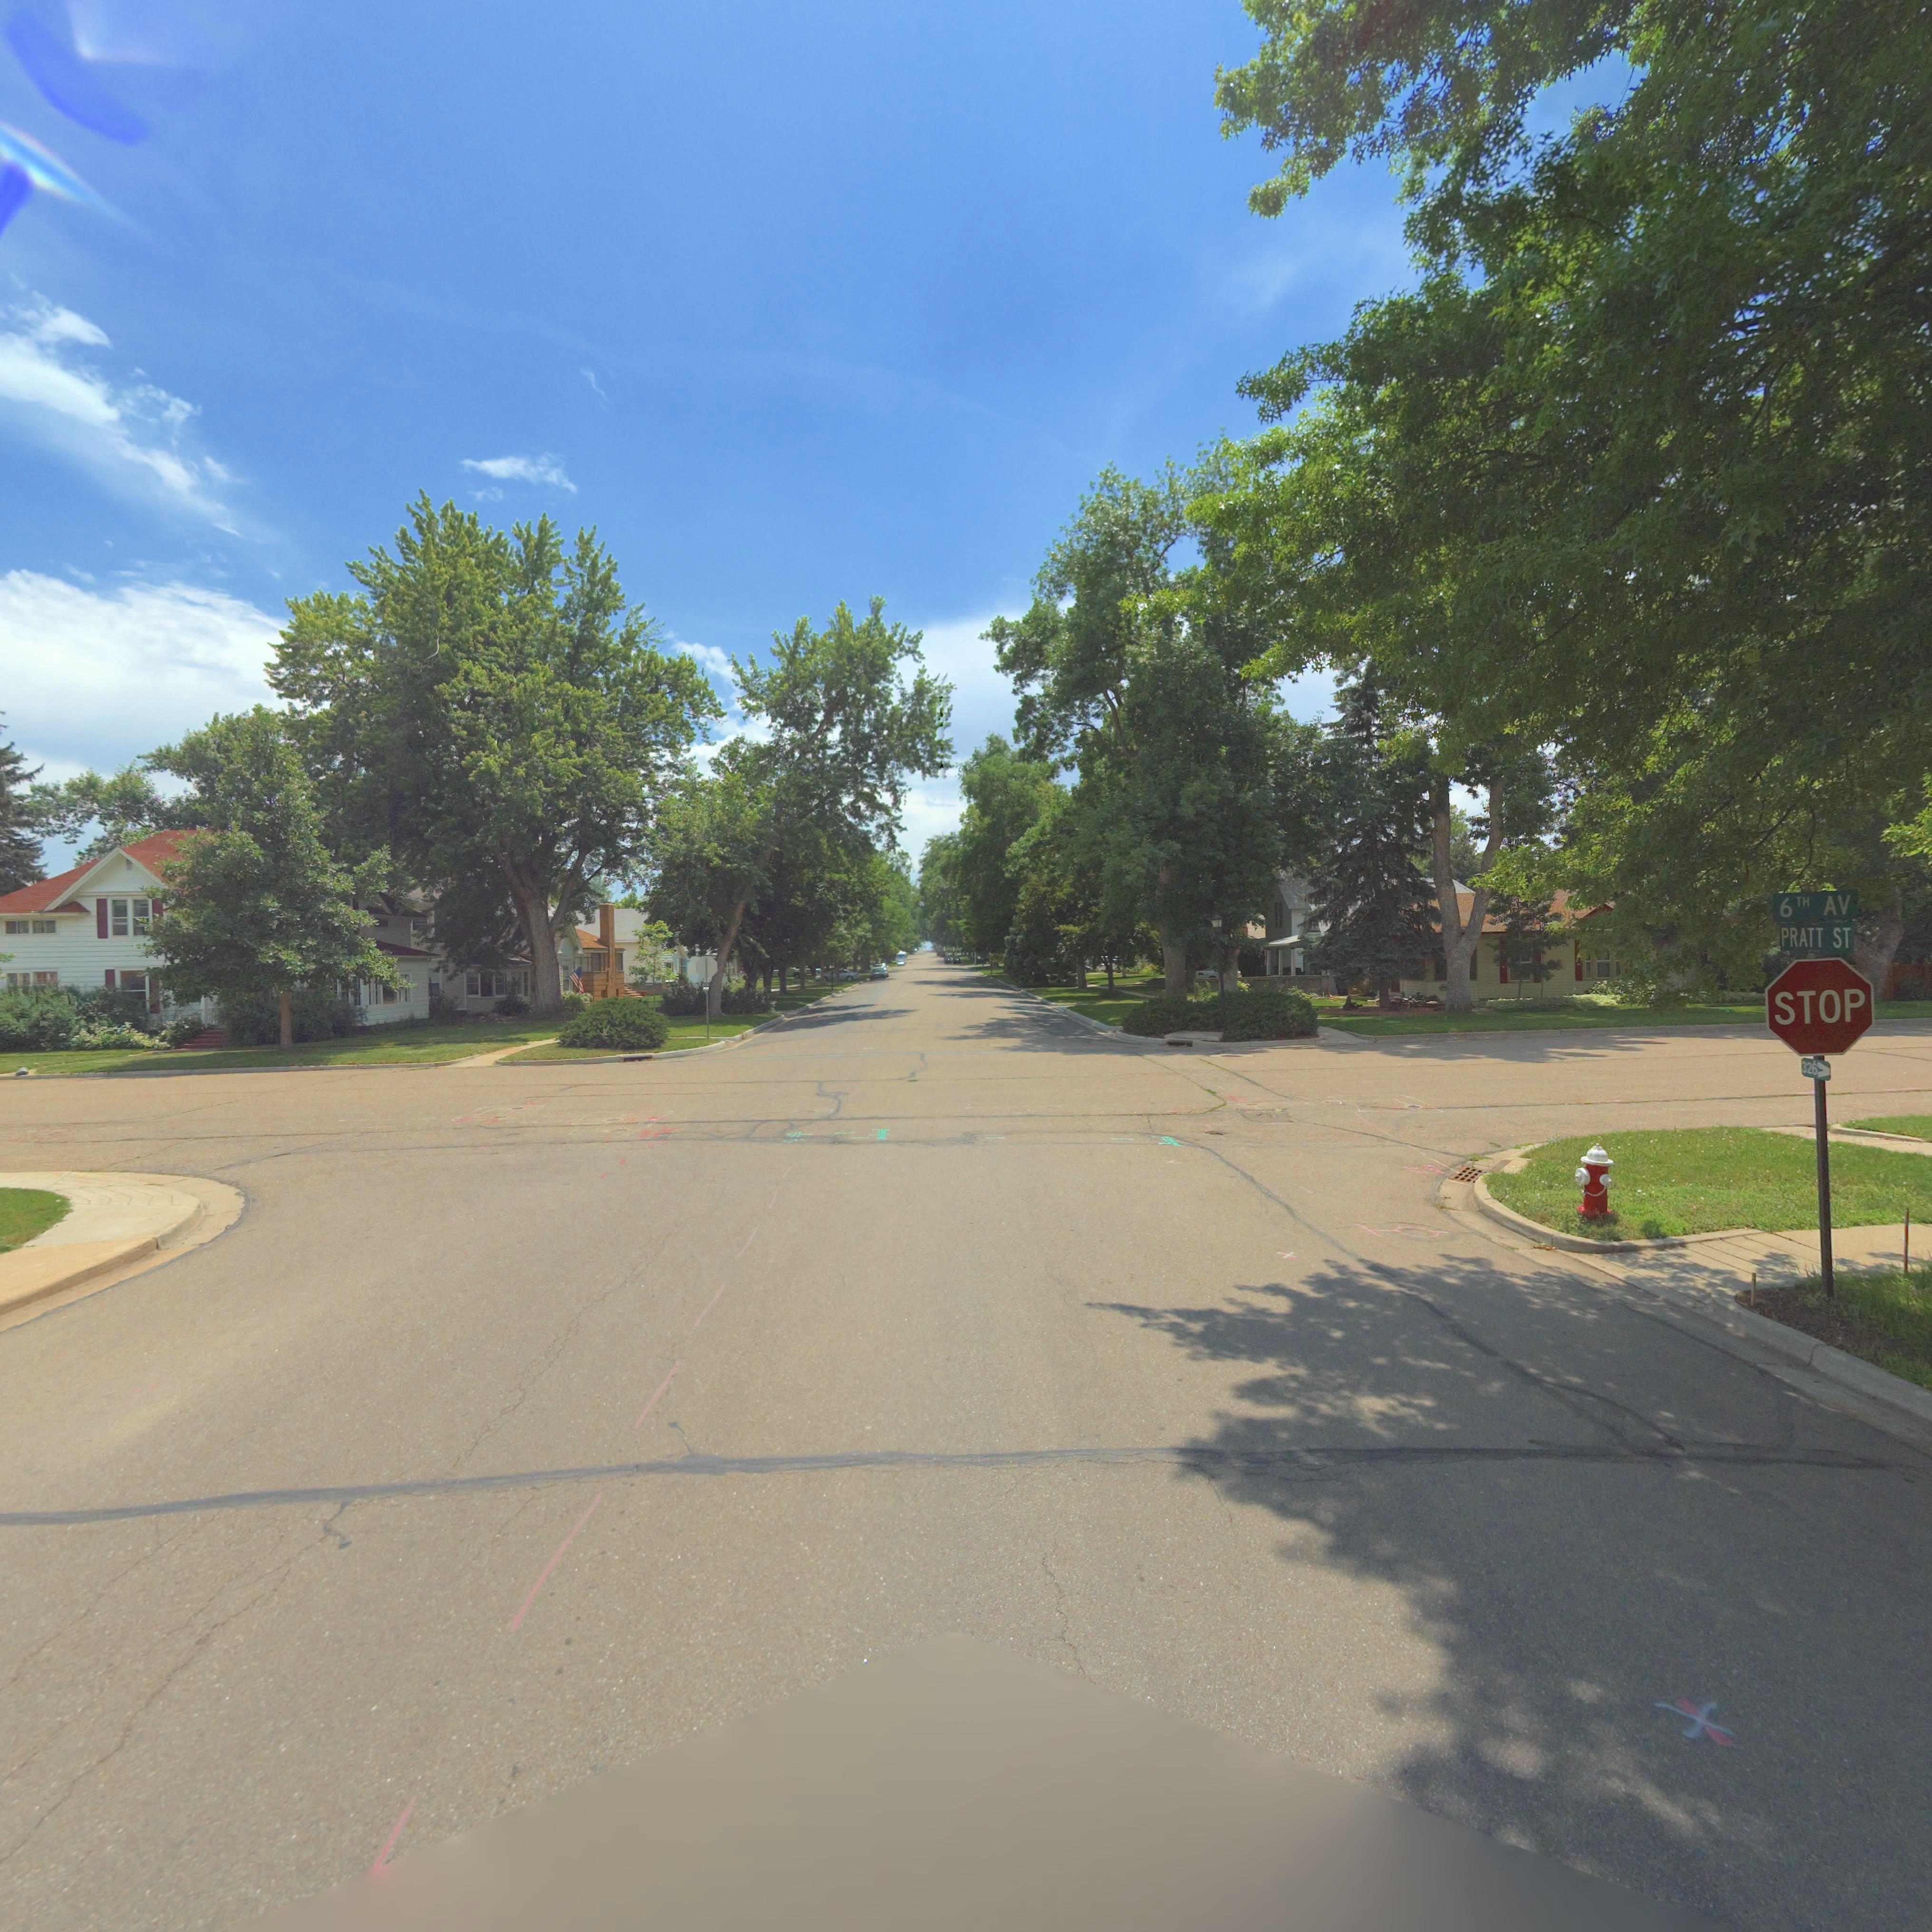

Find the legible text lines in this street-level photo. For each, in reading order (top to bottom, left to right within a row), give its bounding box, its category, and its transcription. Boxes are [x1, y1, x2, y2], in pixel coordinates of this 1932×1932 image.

[1778, 893, 1853, 918] StreetName: 6TH AV
[1781, 927, 1852, 948] StreetName: PRATT ST